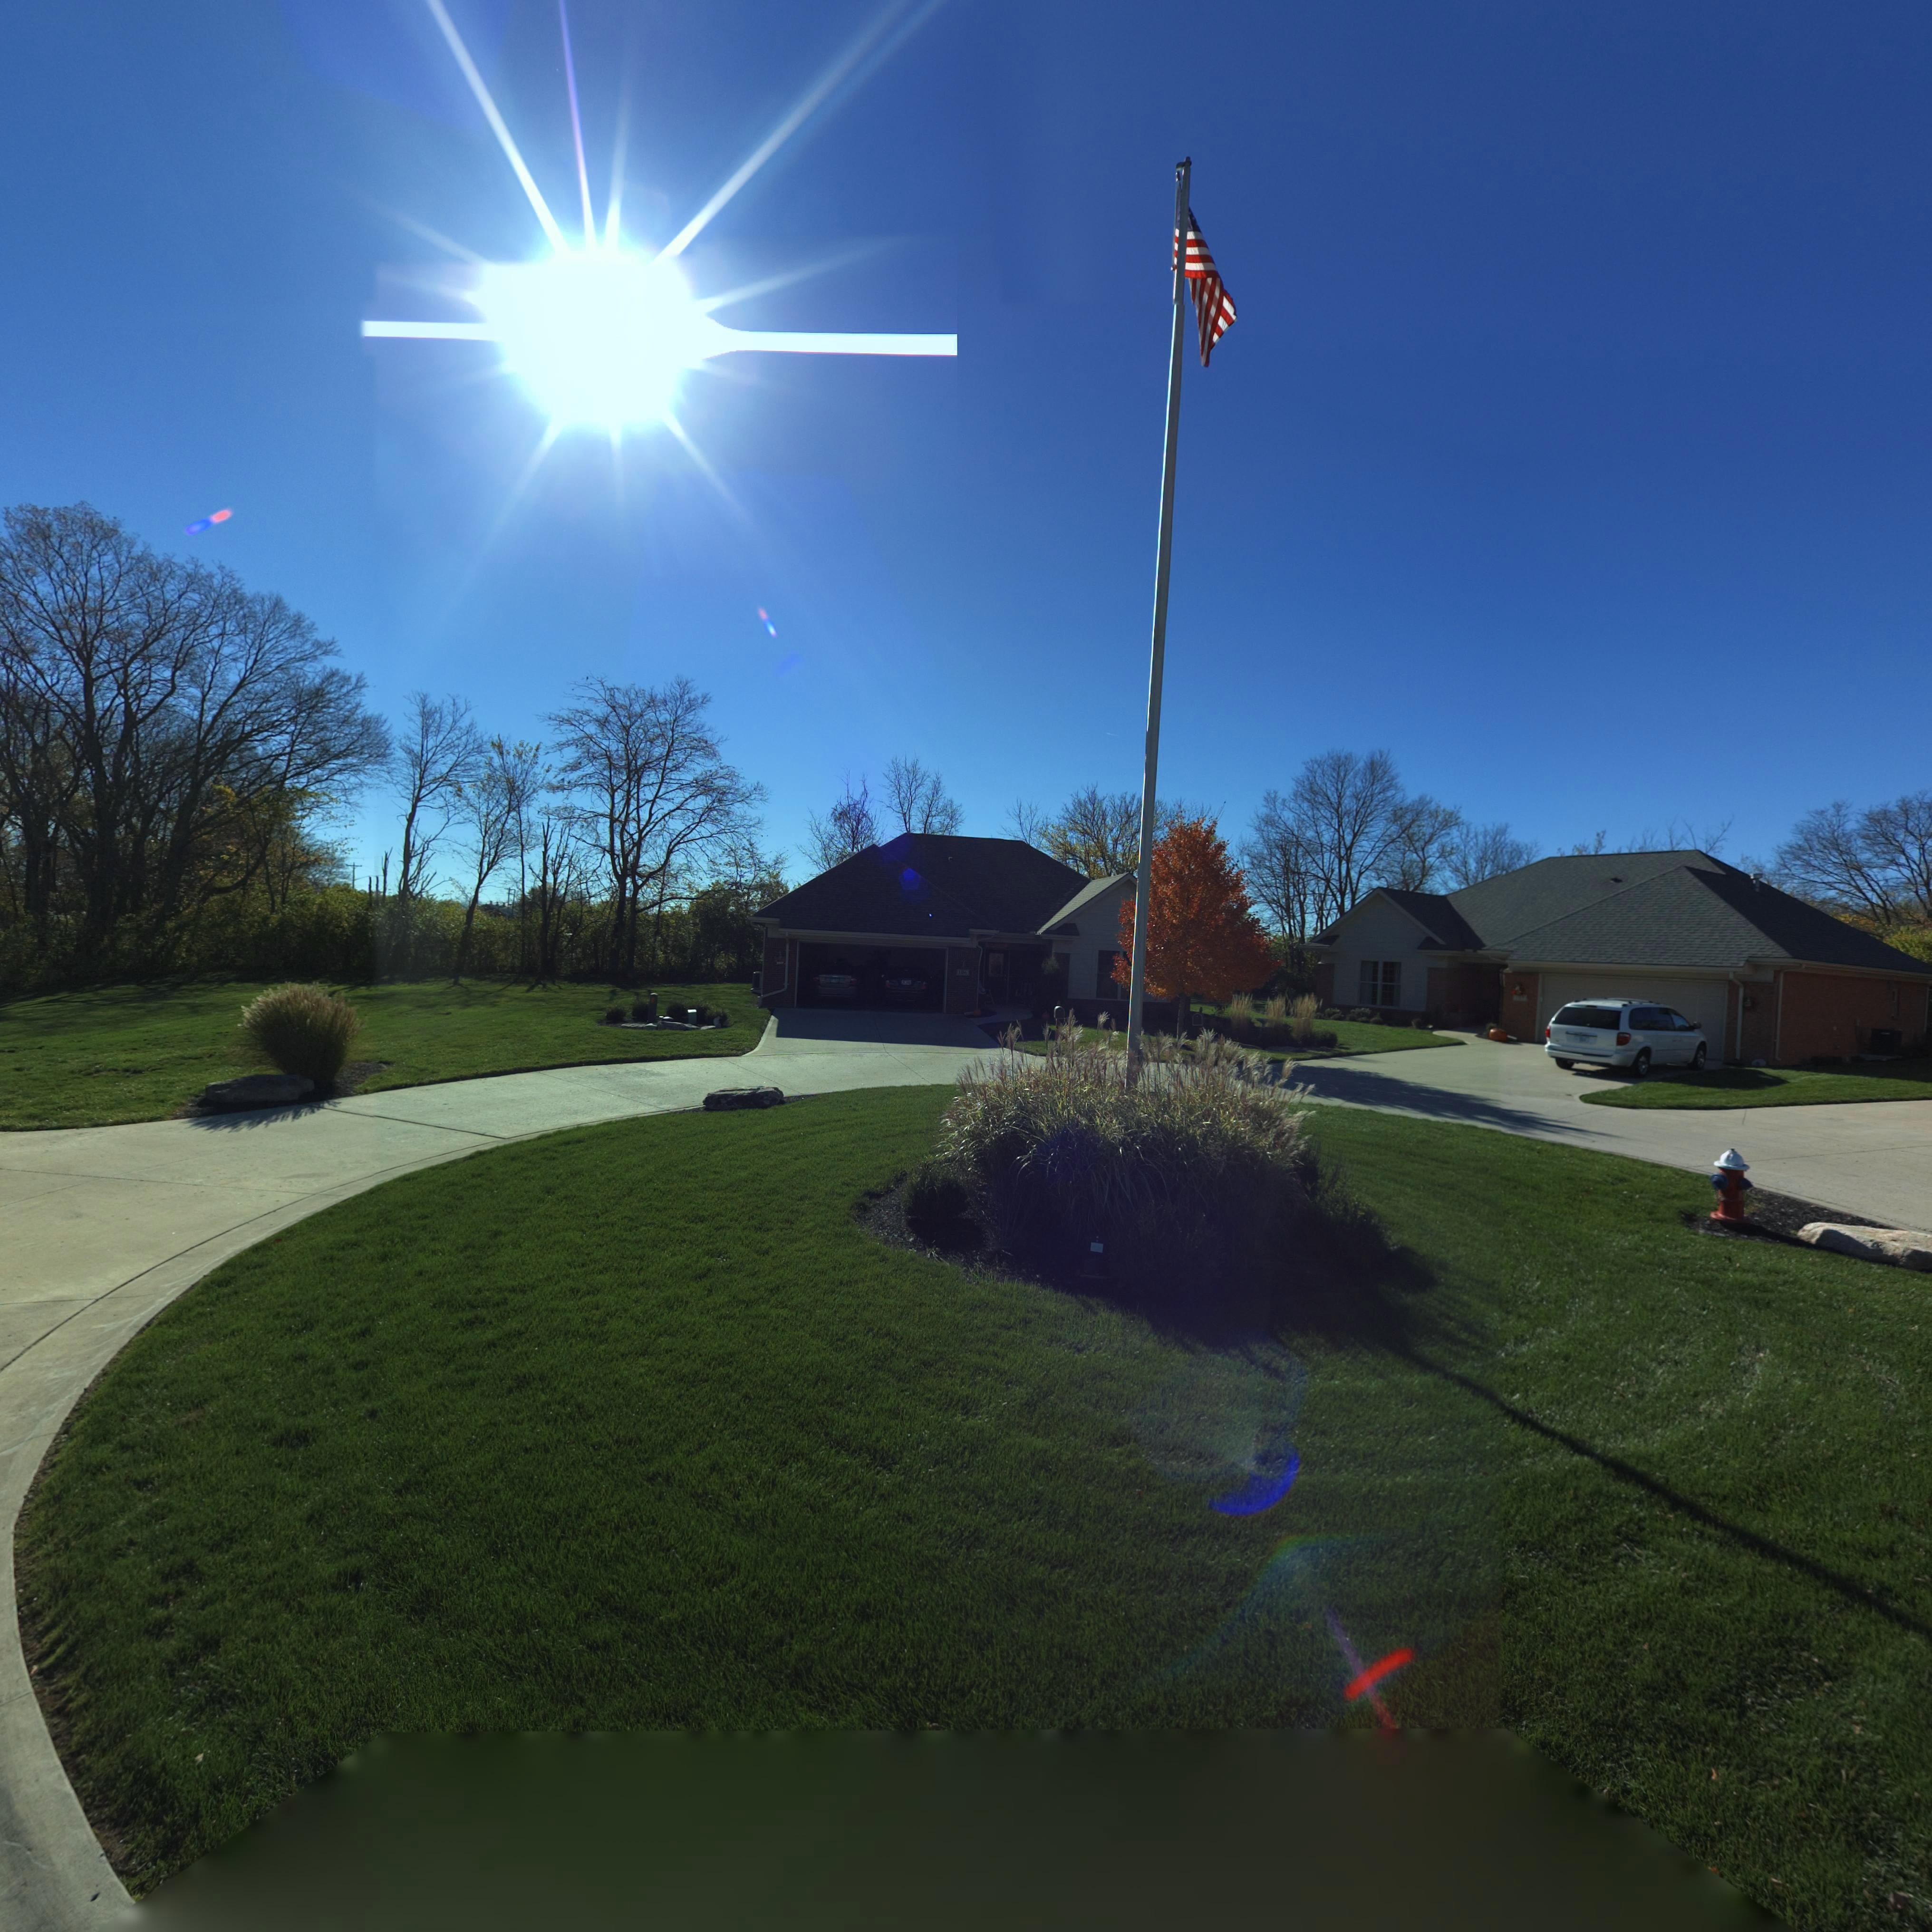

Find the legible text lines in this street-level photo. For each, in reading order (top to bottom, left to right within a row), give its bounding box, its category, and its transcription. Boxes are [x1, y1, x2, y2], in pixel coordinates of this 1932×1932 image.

[958, 969, 968, 976] StreetNumber: 10*